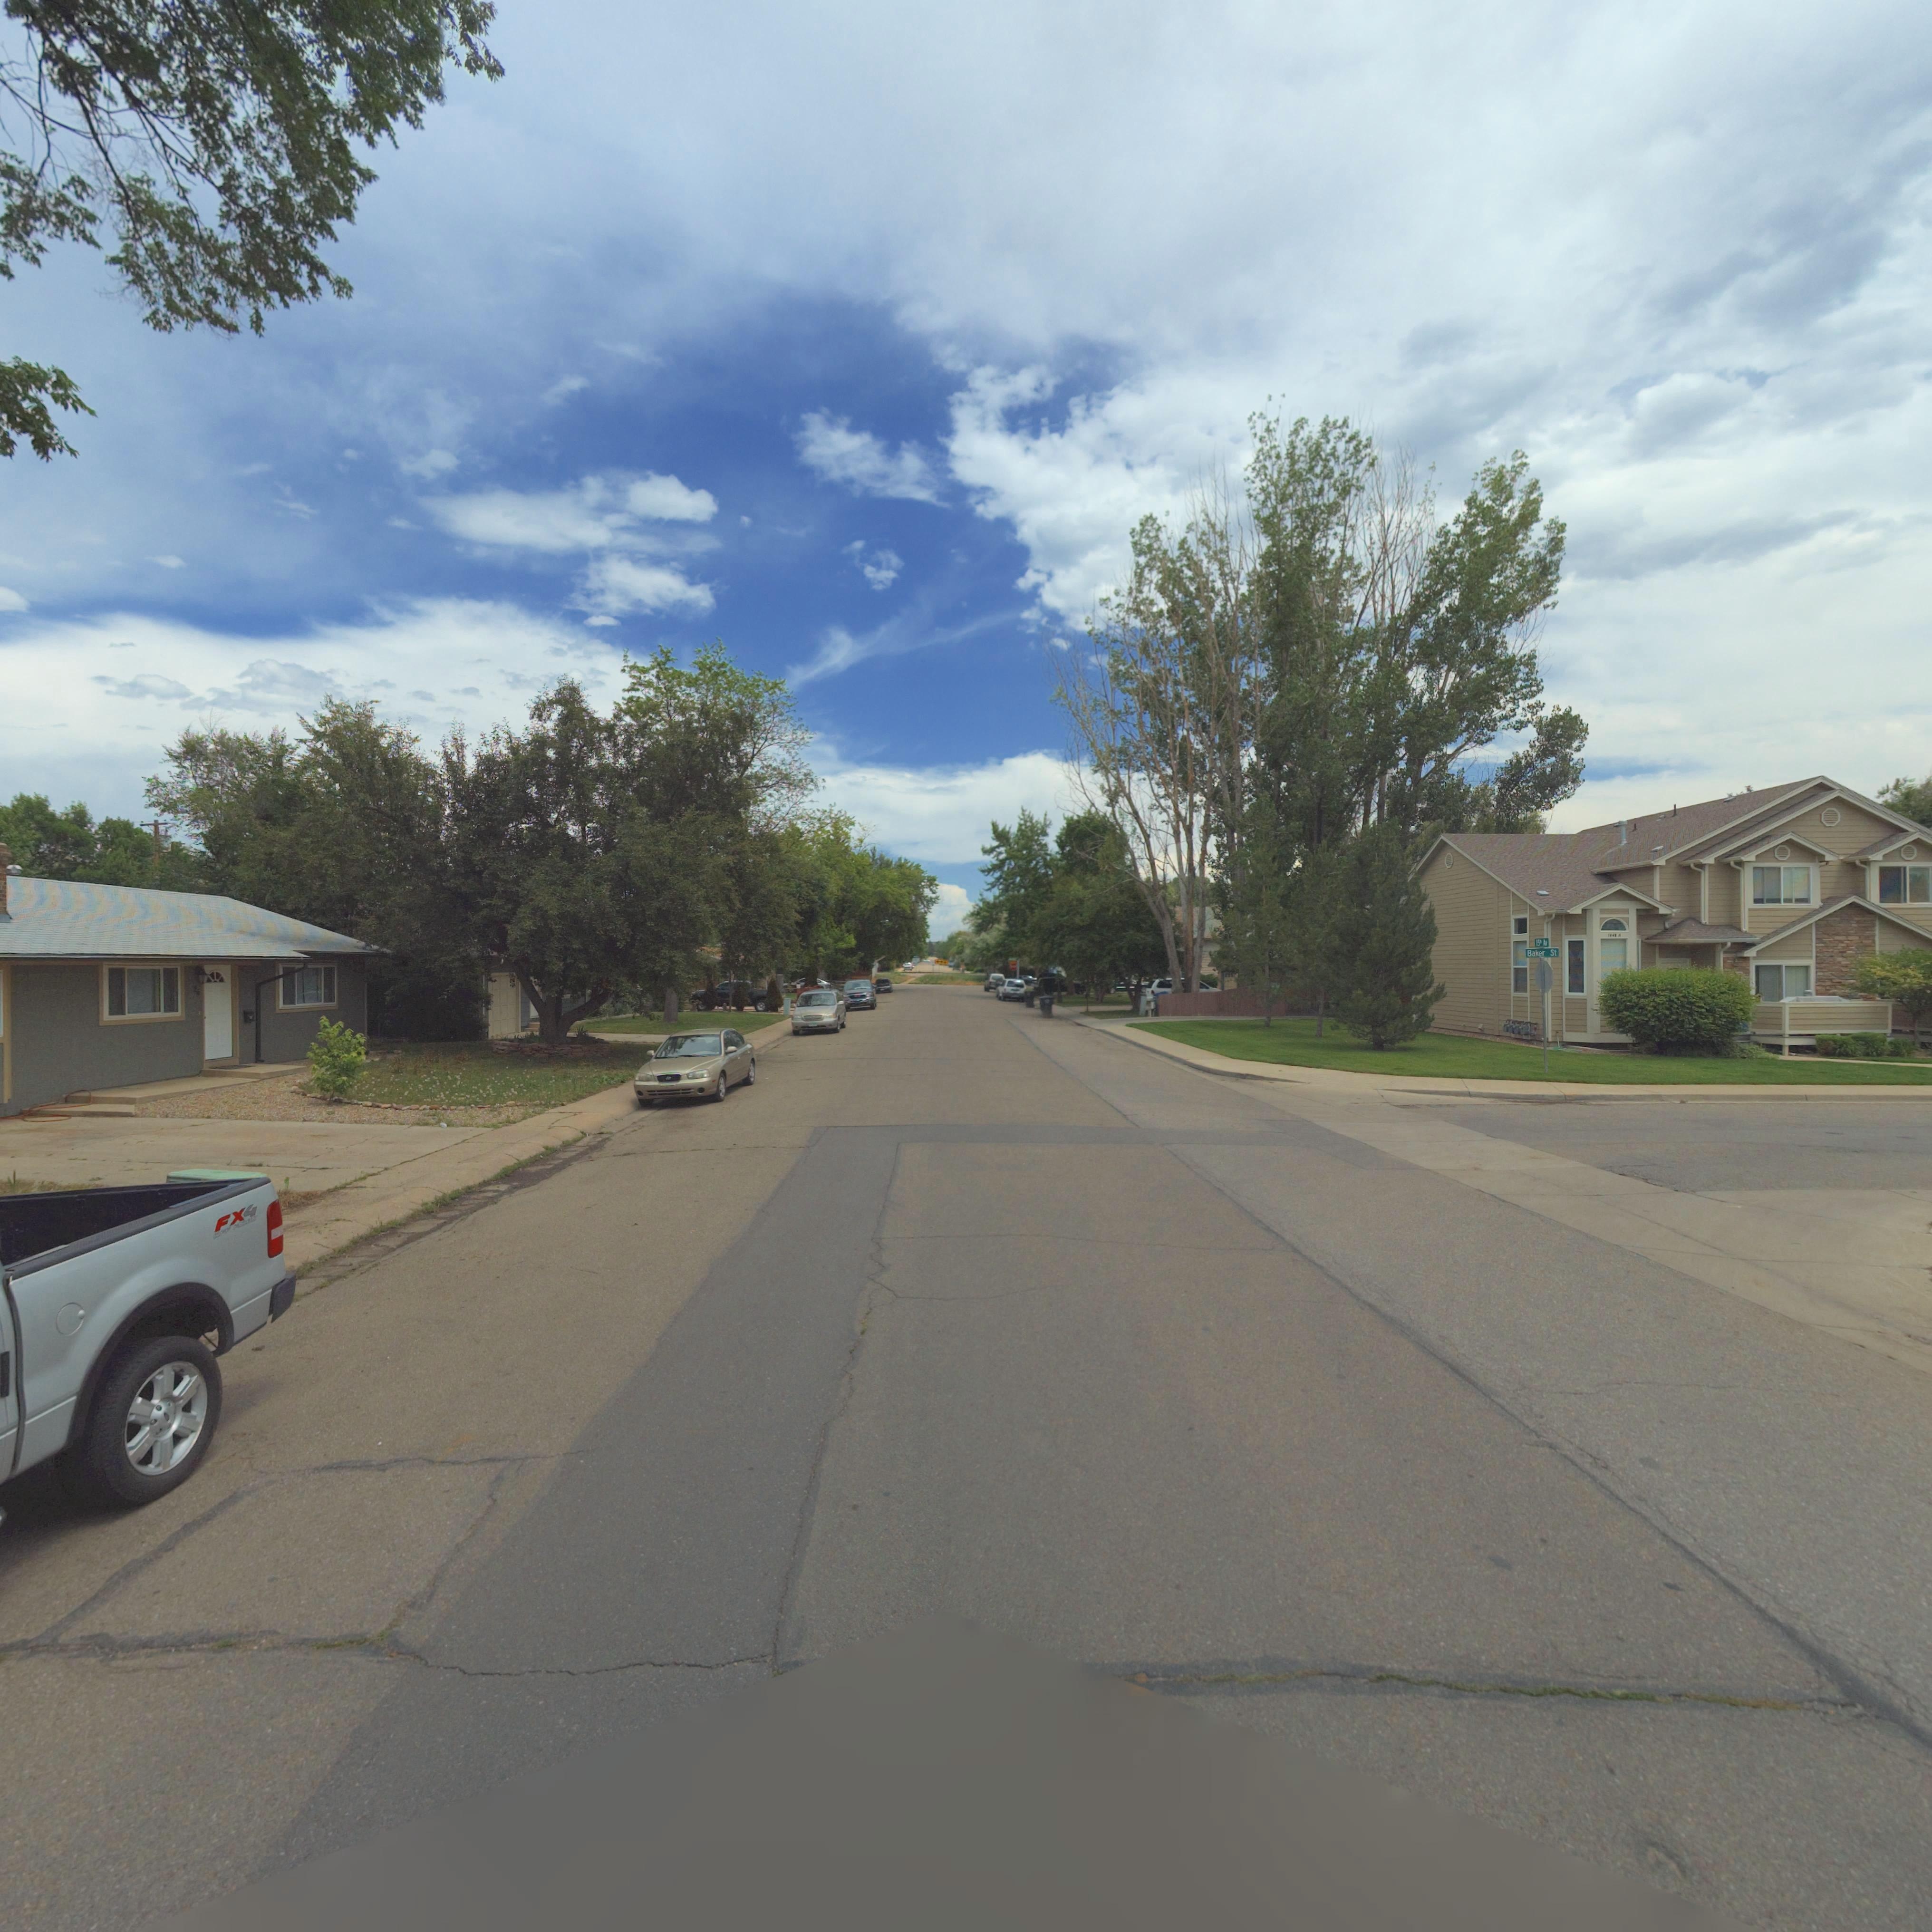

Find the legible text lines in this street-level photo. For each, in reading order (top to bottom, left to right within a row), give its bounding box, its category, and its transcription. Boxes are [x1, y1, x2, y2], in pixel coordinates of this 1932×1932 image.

[1607, 933, 1621, 937] StreetNumber: 1*** A
[1536, 939, 1548, 946] StreetName: 15** Av
[1527, 949, 1557, 956] StreetName: Baker St